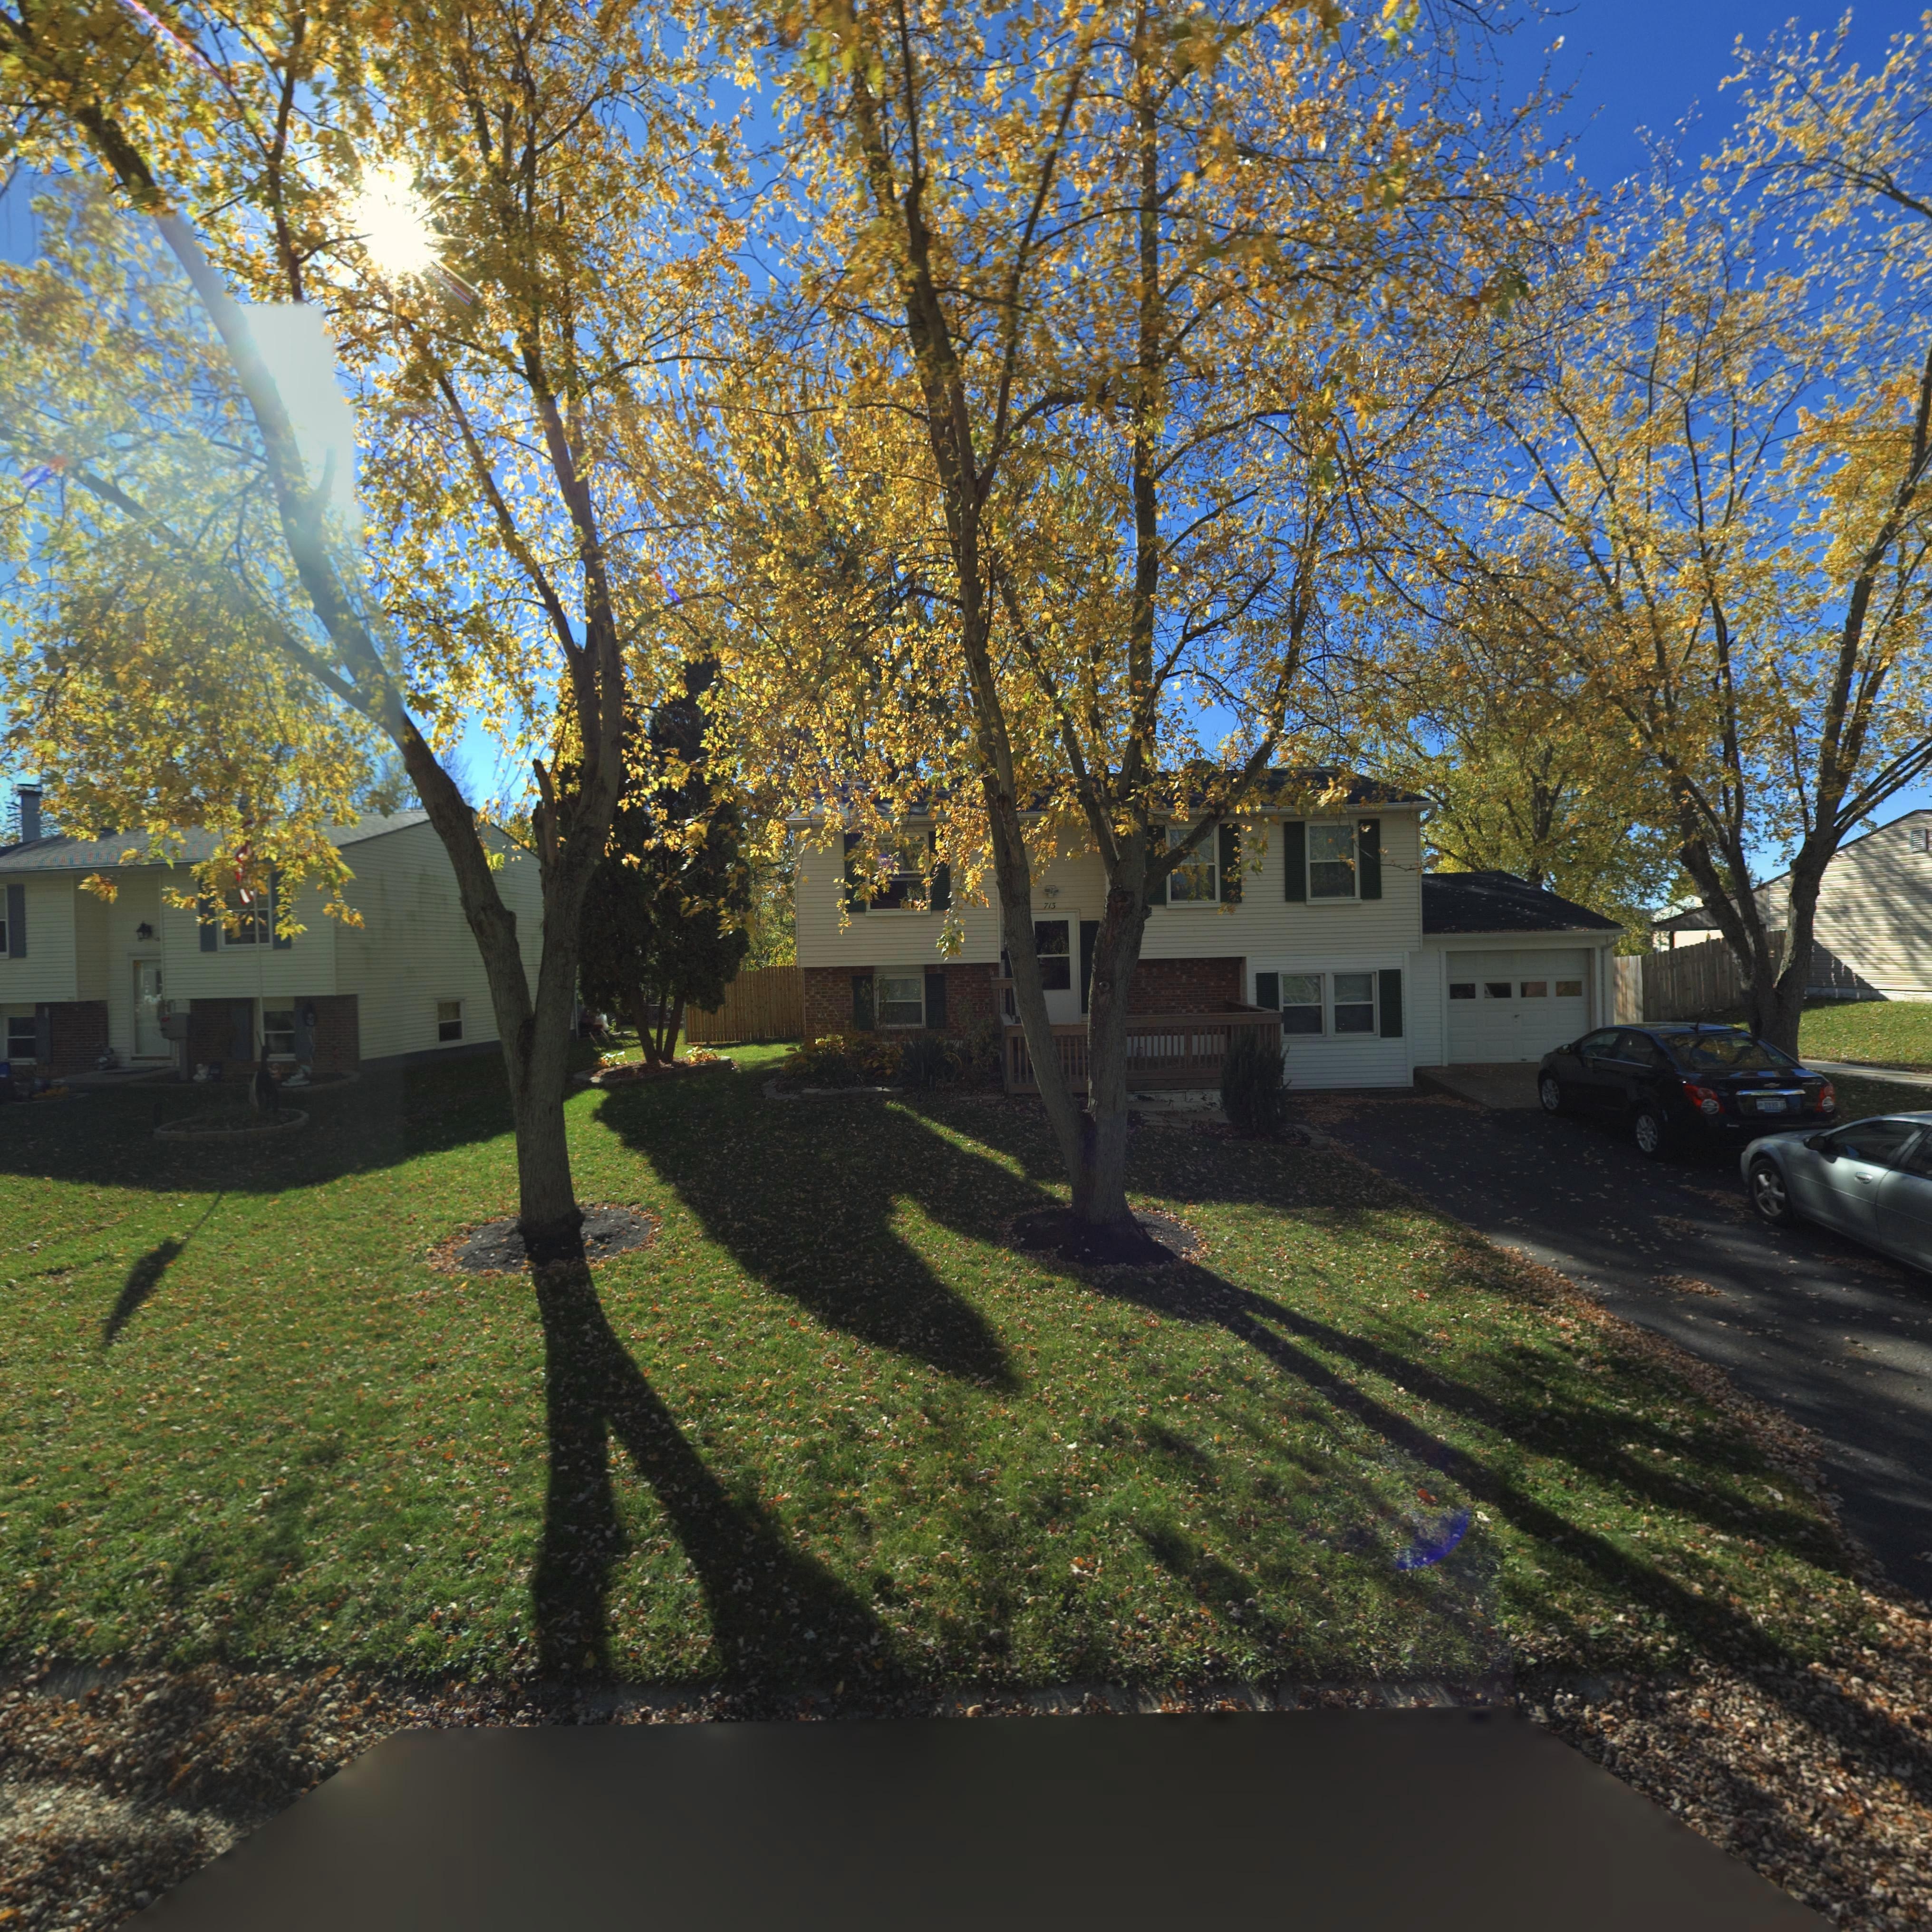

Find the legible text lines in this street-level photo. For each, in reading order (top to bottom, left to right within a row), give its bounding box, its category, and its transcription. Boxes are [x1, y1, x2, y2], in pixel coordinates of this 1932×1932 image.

[1043, 902, 1057, 909] StreetNumber: 713